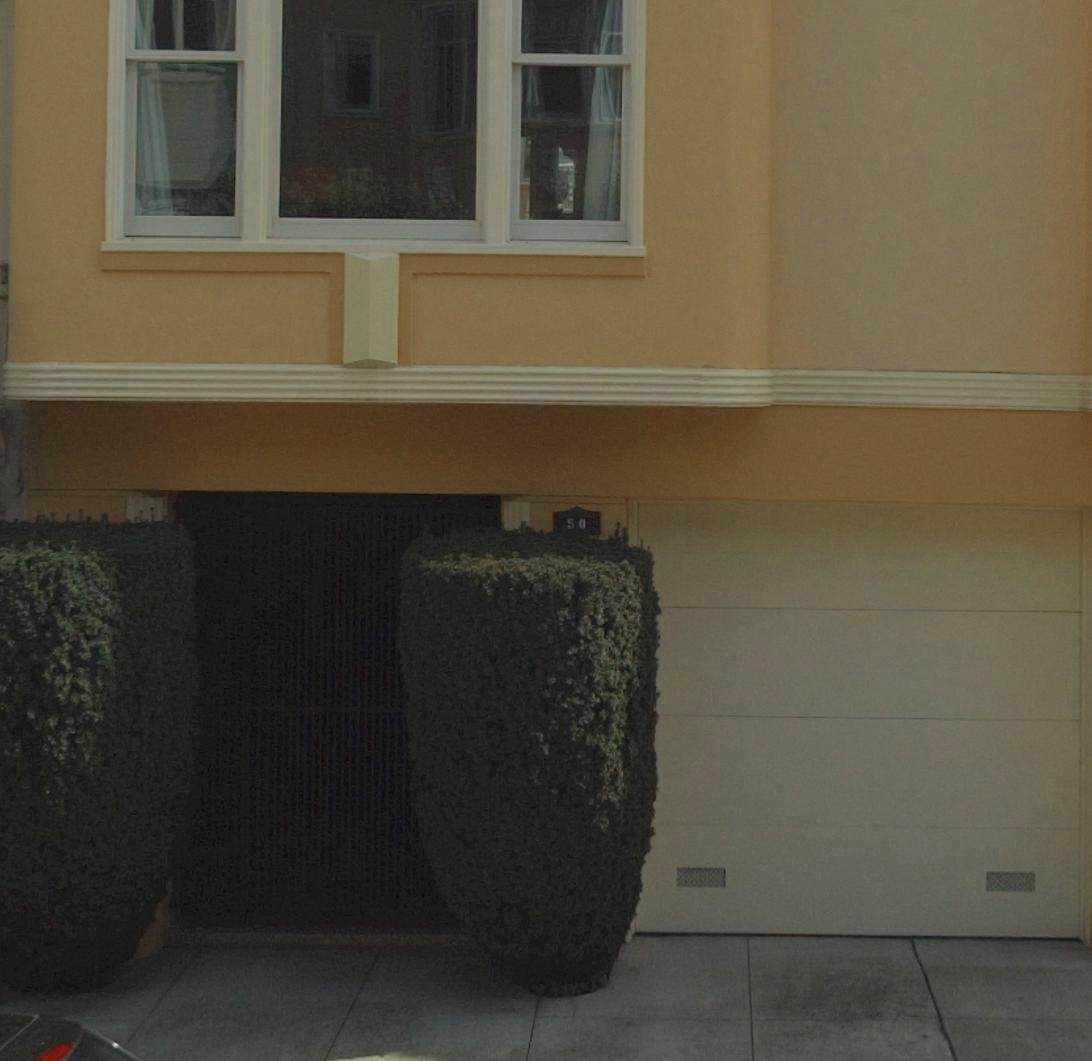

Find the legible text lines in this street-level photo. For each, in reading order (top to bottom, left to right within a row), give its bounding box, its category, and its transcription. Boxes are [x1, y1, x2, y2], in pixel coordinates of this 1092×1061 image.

[564, 516, 588, 531] StreetNumber: 50